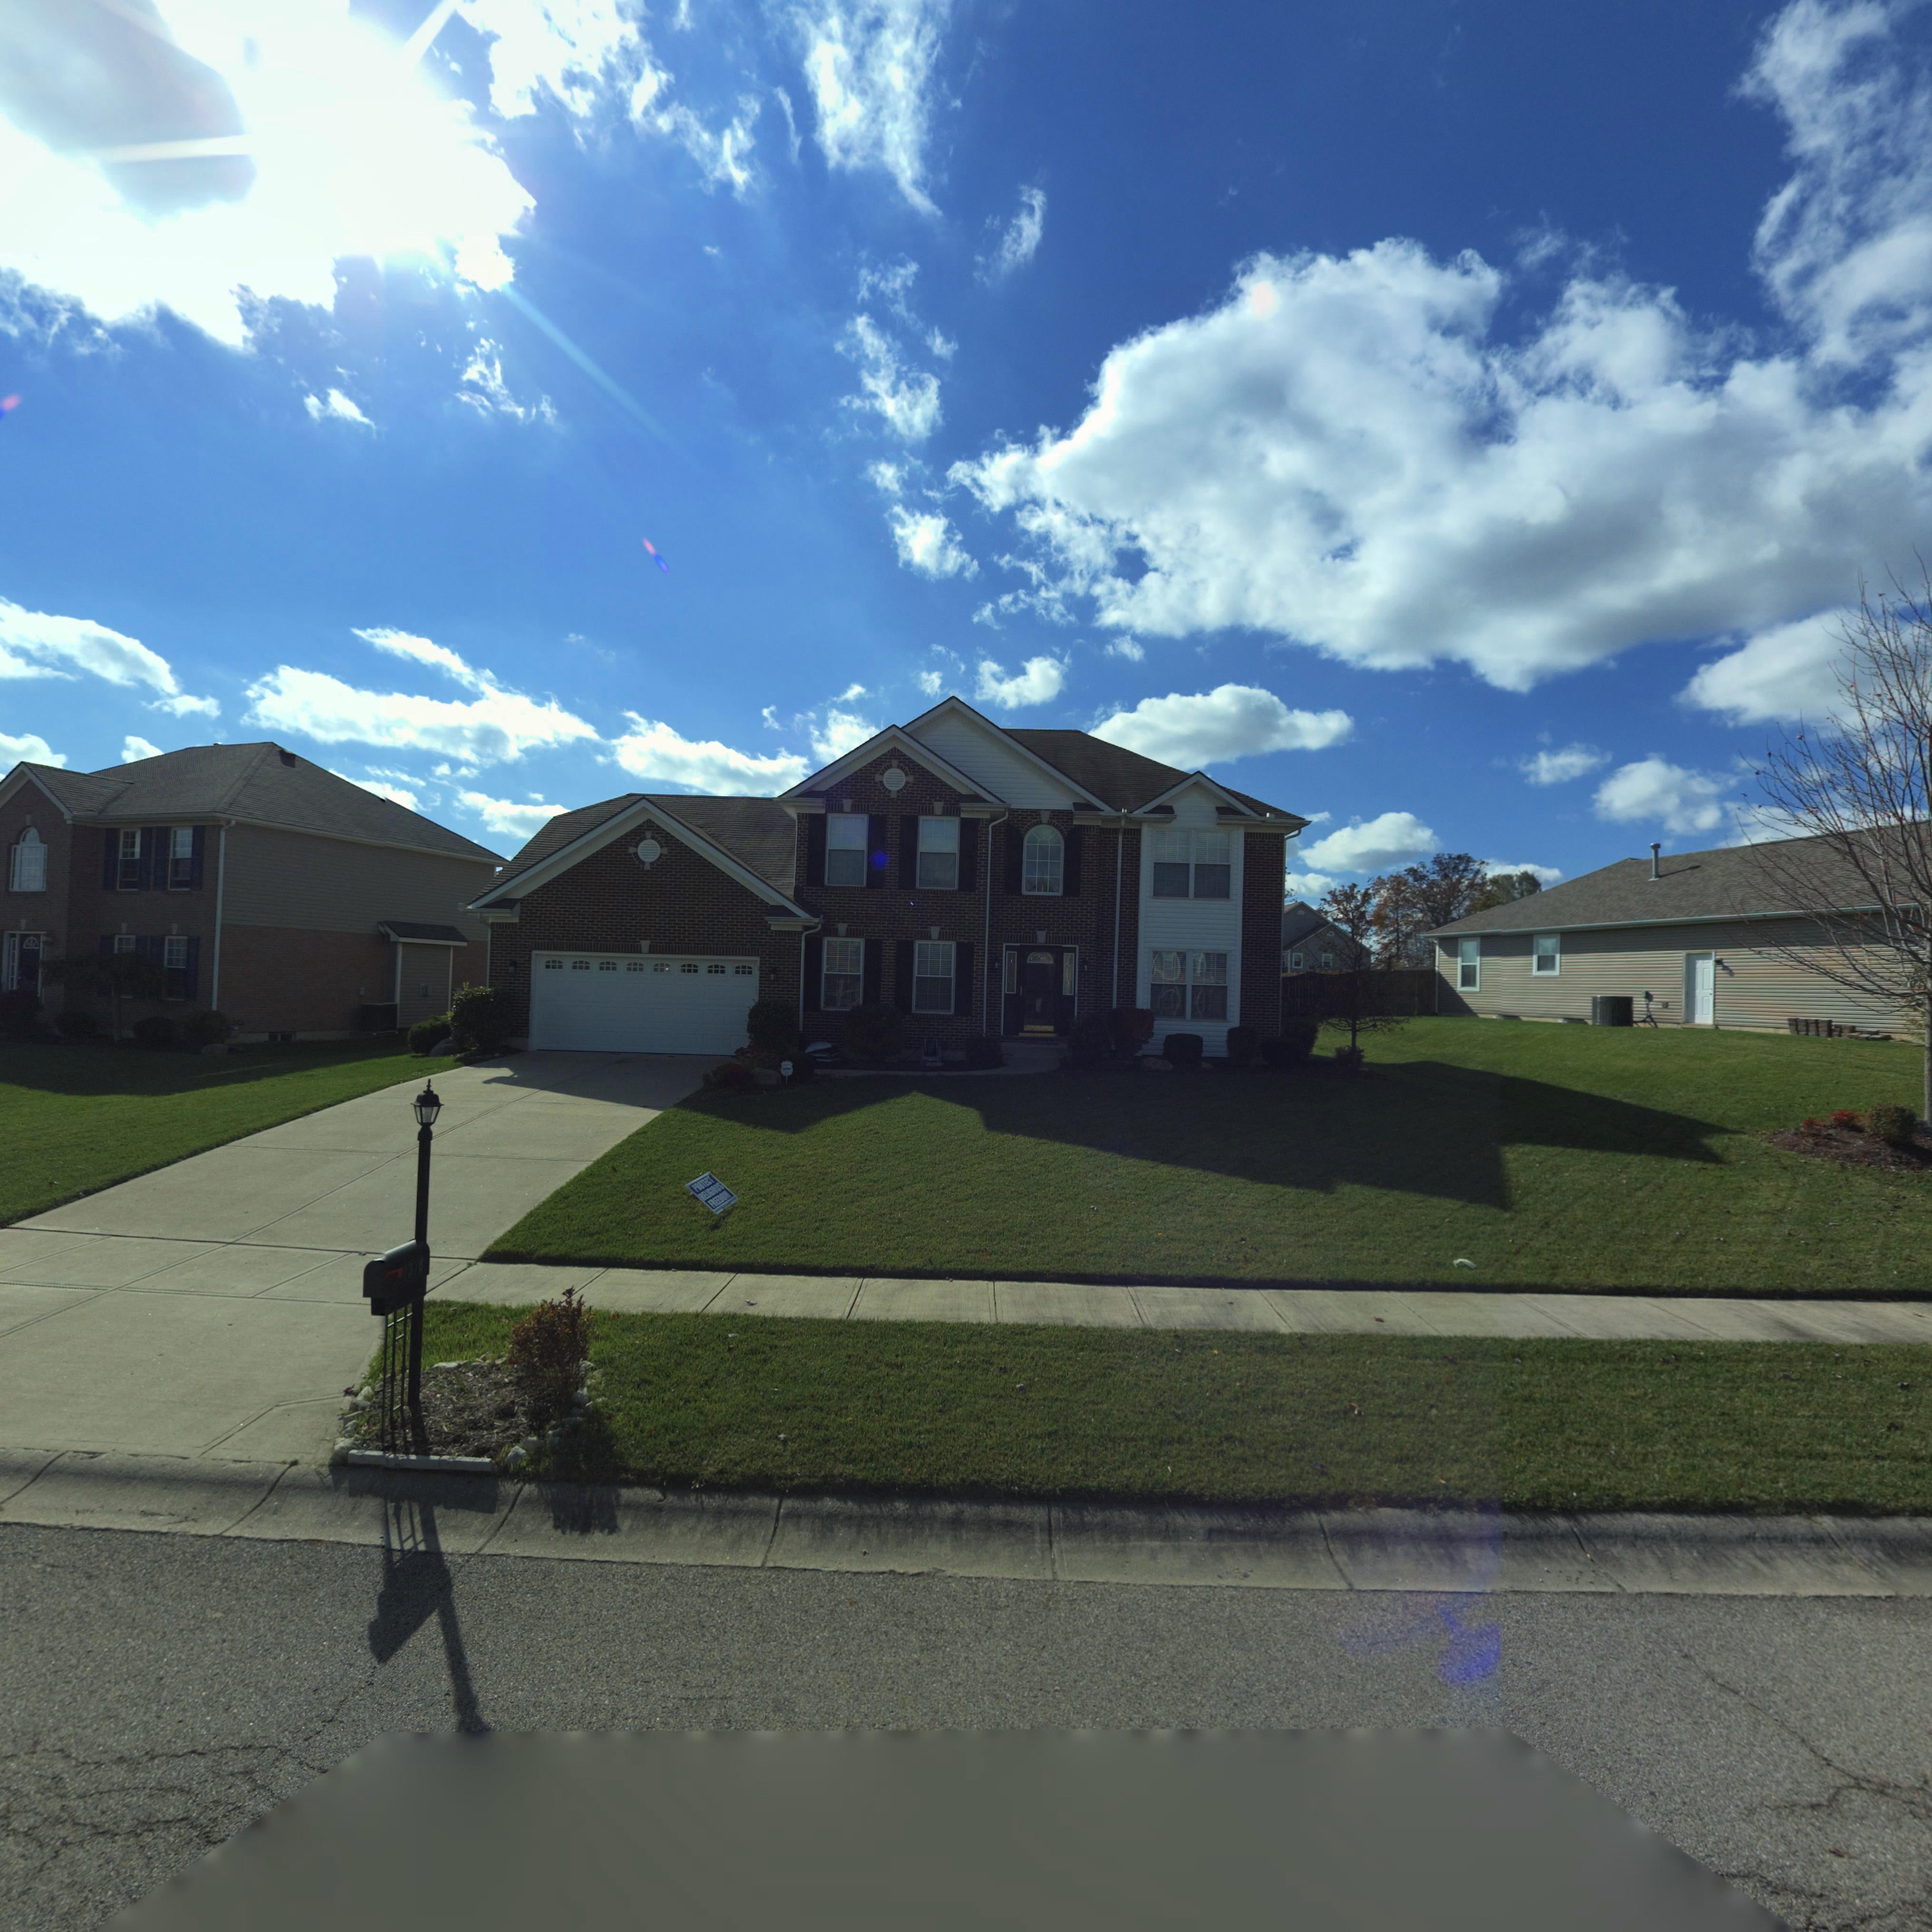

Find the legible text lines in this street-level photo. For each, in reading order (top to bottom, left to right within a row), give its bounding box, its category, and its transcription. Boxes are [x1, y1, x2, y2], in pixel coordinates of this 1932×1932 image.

[402, 1256, 424, 1279] StreetNumber: 73*8